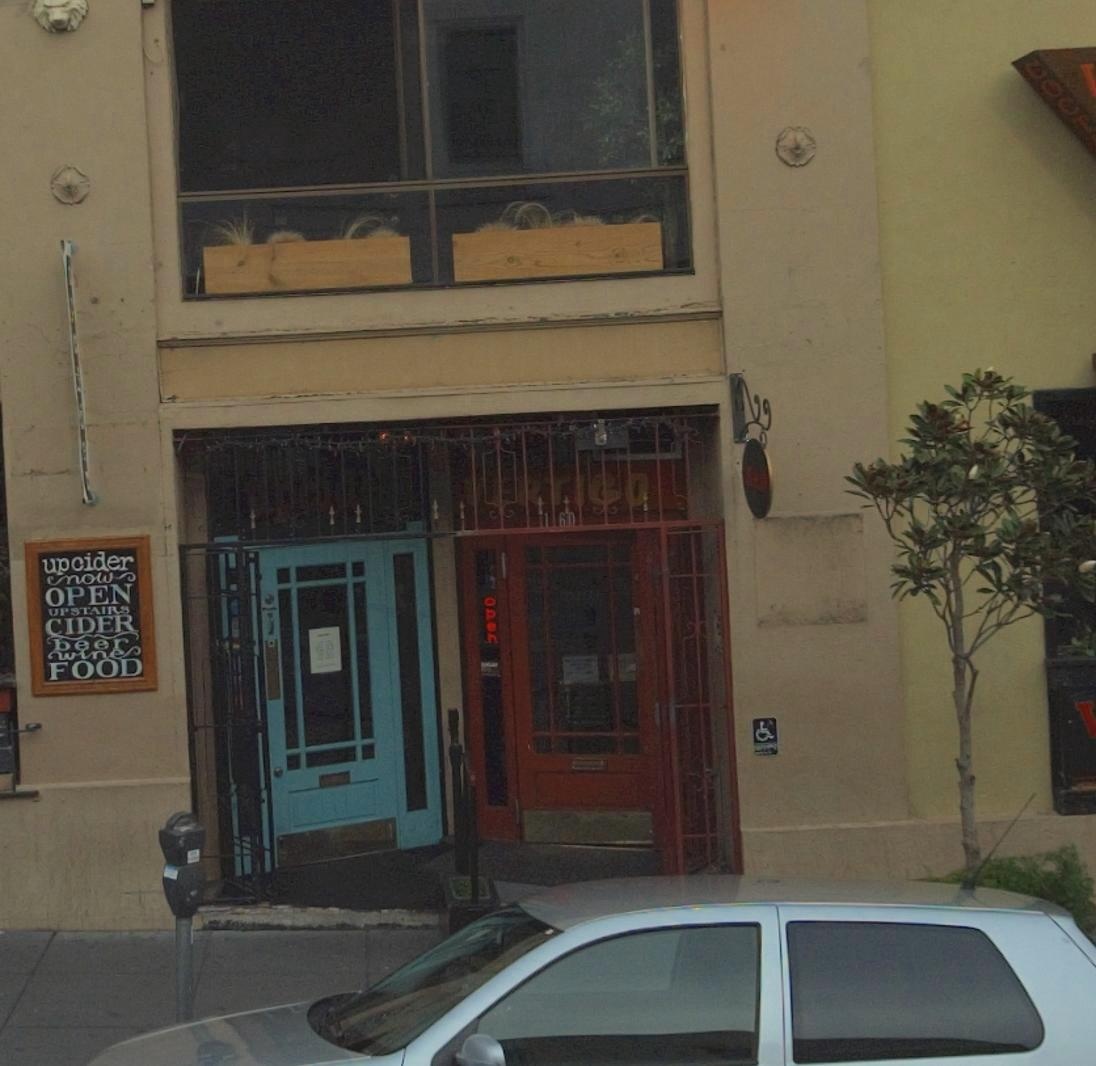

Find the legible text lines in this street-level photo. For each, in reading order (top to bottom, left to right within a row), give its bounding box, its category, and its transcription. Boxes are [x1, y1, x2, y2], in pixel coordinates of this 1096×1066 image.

[543, 511, 576, 528] StreetNumber: 1160
[40, 550, 135, 576] None: upcider
[64, 572, 115, 585] None: now
[44, 583, 134, 608] None: OPEN
[46, 605, 131, 617] None: UPSTAIRS
[44, 614, 136, 637] None: CIDER
[483, 596, 499, 645] None: open
[52, 637, 130, 651] None: beer
[57, 648, 126, 661] None: wine
[48, 658, 143, 681] None: FOOD